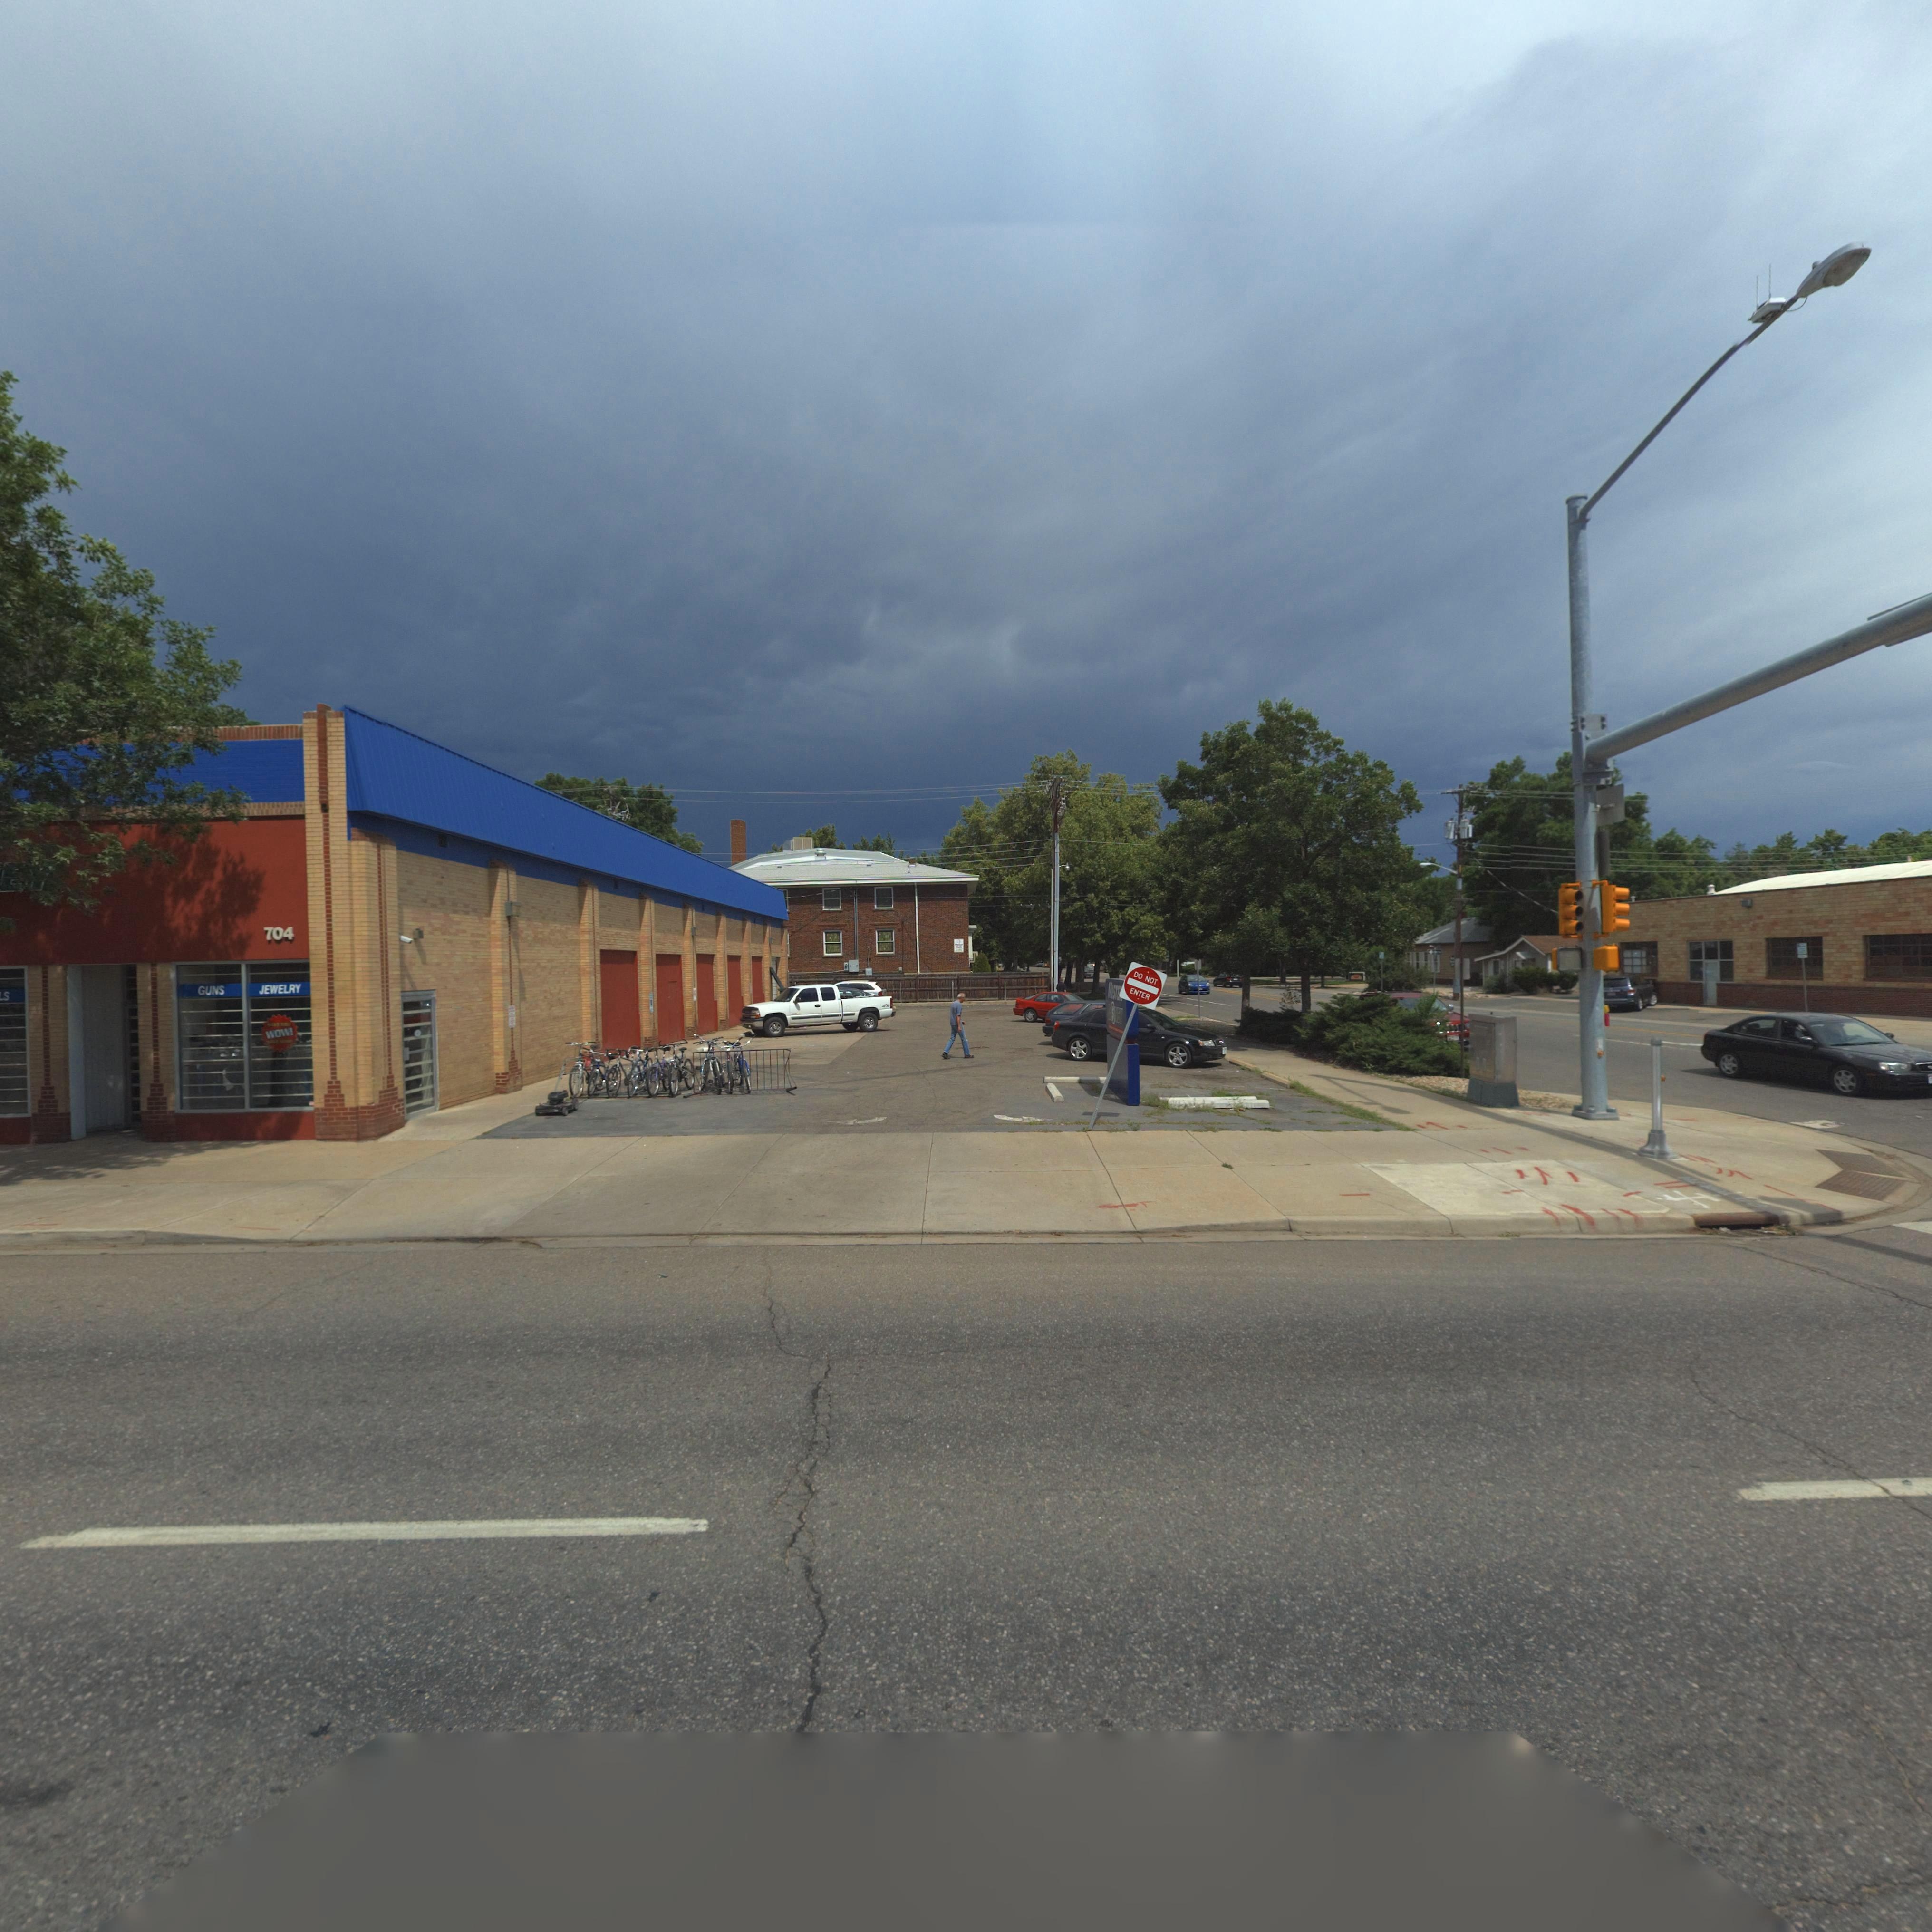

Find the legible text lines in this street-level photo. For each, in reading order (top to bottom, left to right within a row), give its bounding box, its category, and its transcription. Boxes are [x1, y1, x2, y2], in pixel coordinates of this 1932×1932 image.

[263, 926, 295, 941] StreetNumber: 704
[1107, 981, 1118, 1000] BusinessName: MIST
[1114, 1005, 1123, 1024] BusinessName: NEY